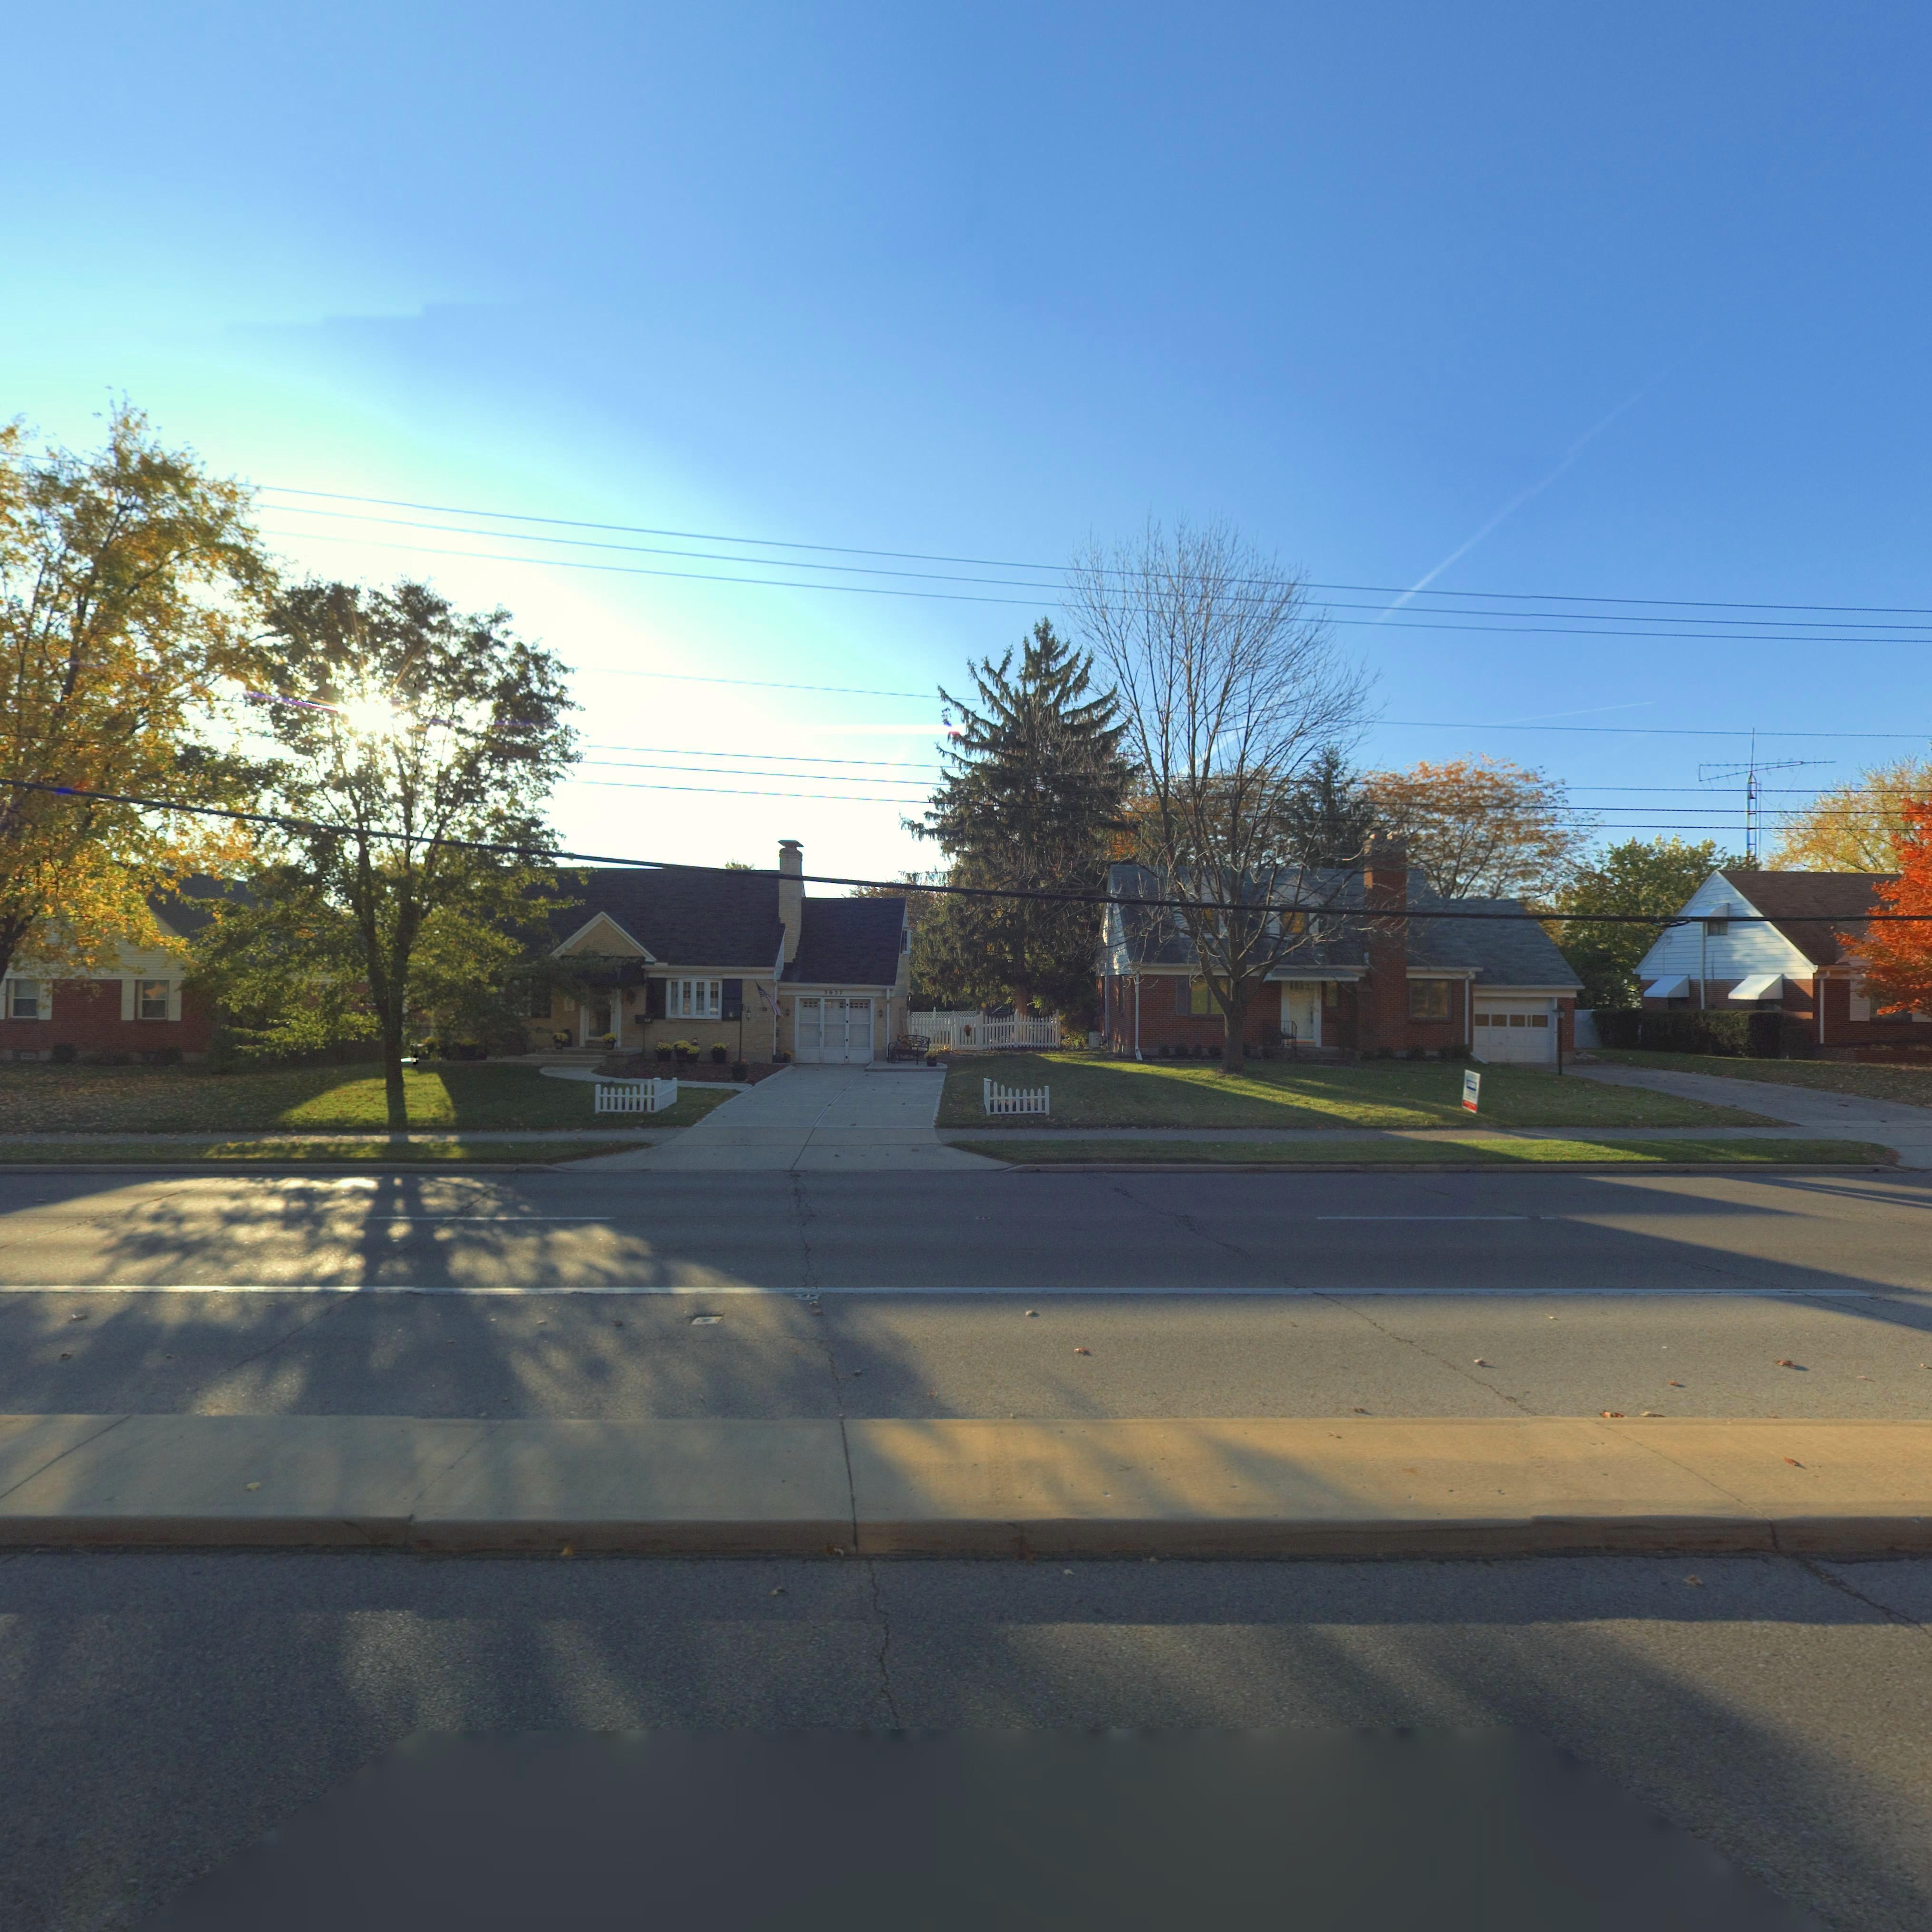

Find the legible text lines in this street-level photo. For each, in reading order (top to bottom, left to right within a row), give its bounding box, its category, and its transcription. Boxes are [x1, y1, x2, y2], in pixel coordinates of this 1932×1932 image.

[824, 989, 842, 995] StreetNumber: 3657